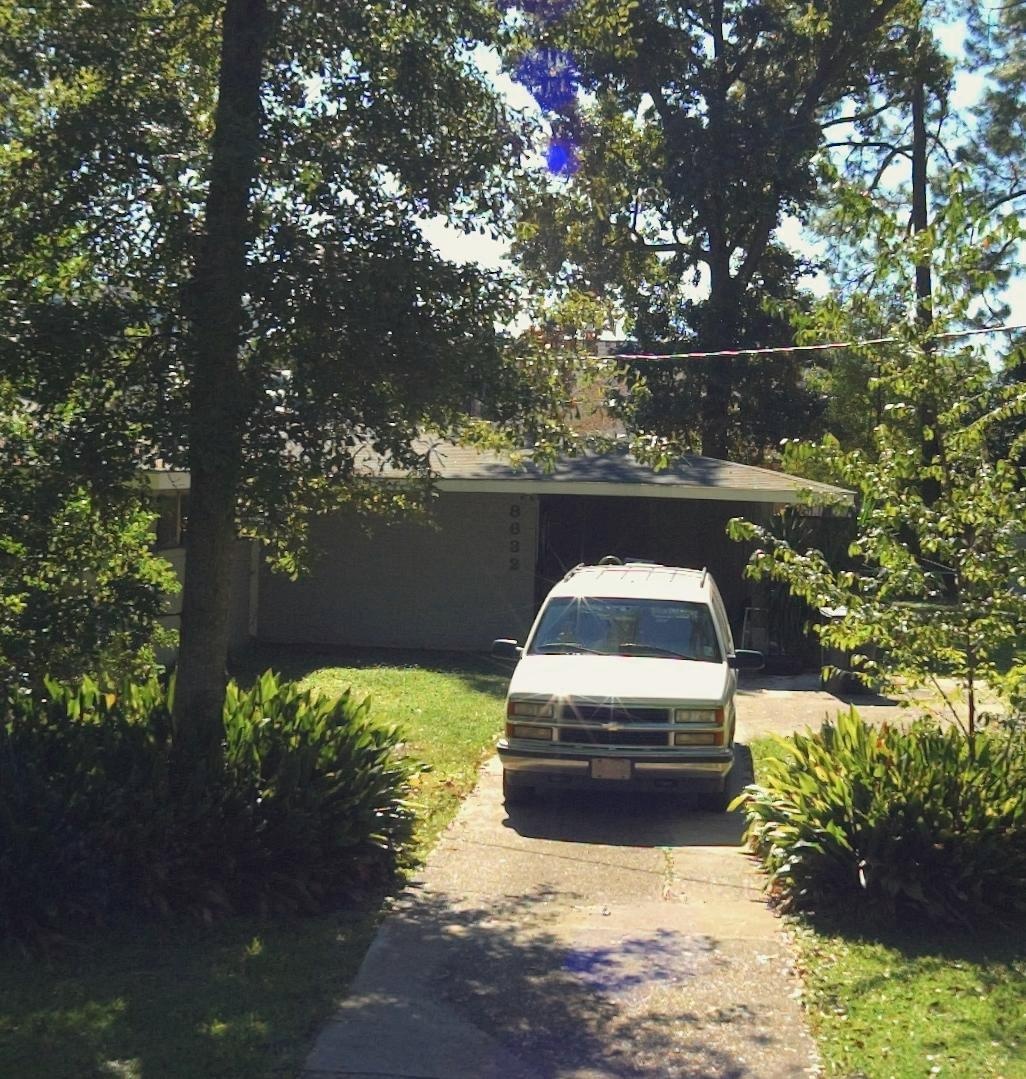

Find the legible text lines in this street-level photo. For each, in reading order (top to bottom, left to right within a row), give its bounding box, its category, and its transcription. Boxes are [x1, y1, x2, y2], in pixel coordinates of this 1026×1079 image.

[506, 502, 524, 573] StreetNumber: 8632